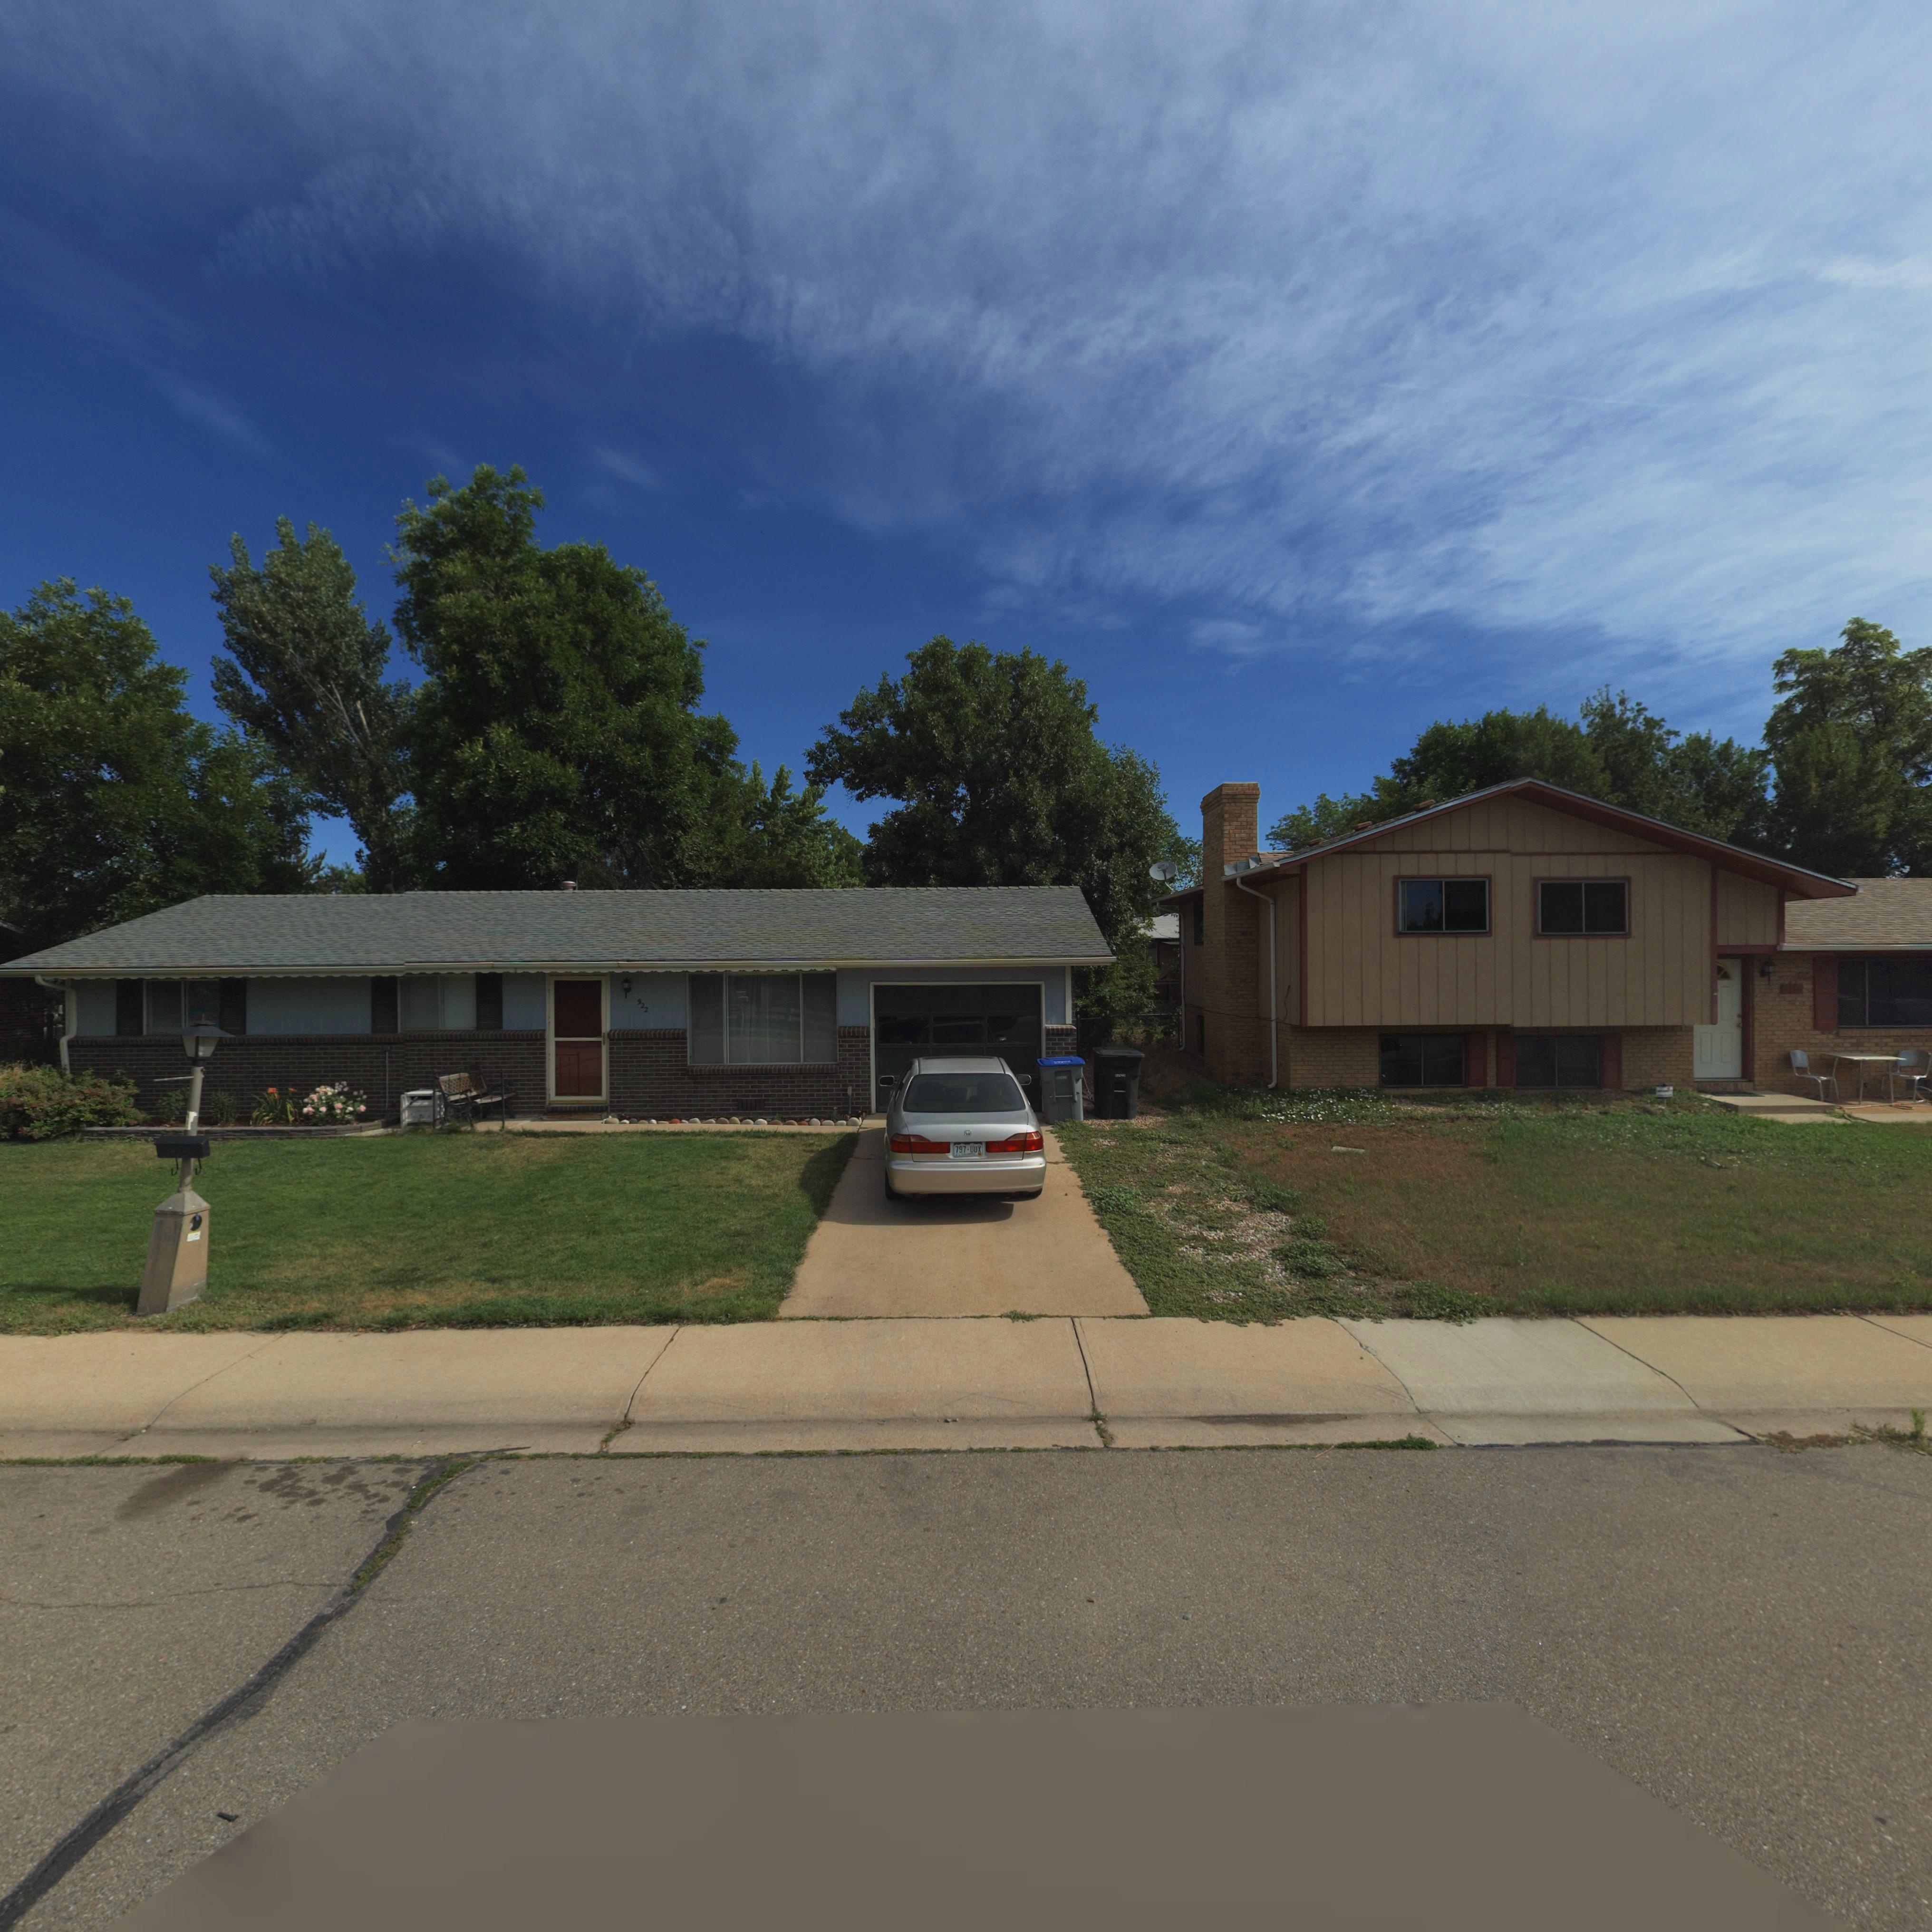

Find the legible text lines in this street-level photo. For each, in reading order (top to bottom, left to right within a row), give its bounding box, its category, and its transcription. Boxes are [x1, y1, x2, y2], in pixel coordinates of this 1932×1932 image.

[637, 998, 648, 1013] StreetNumber: 922